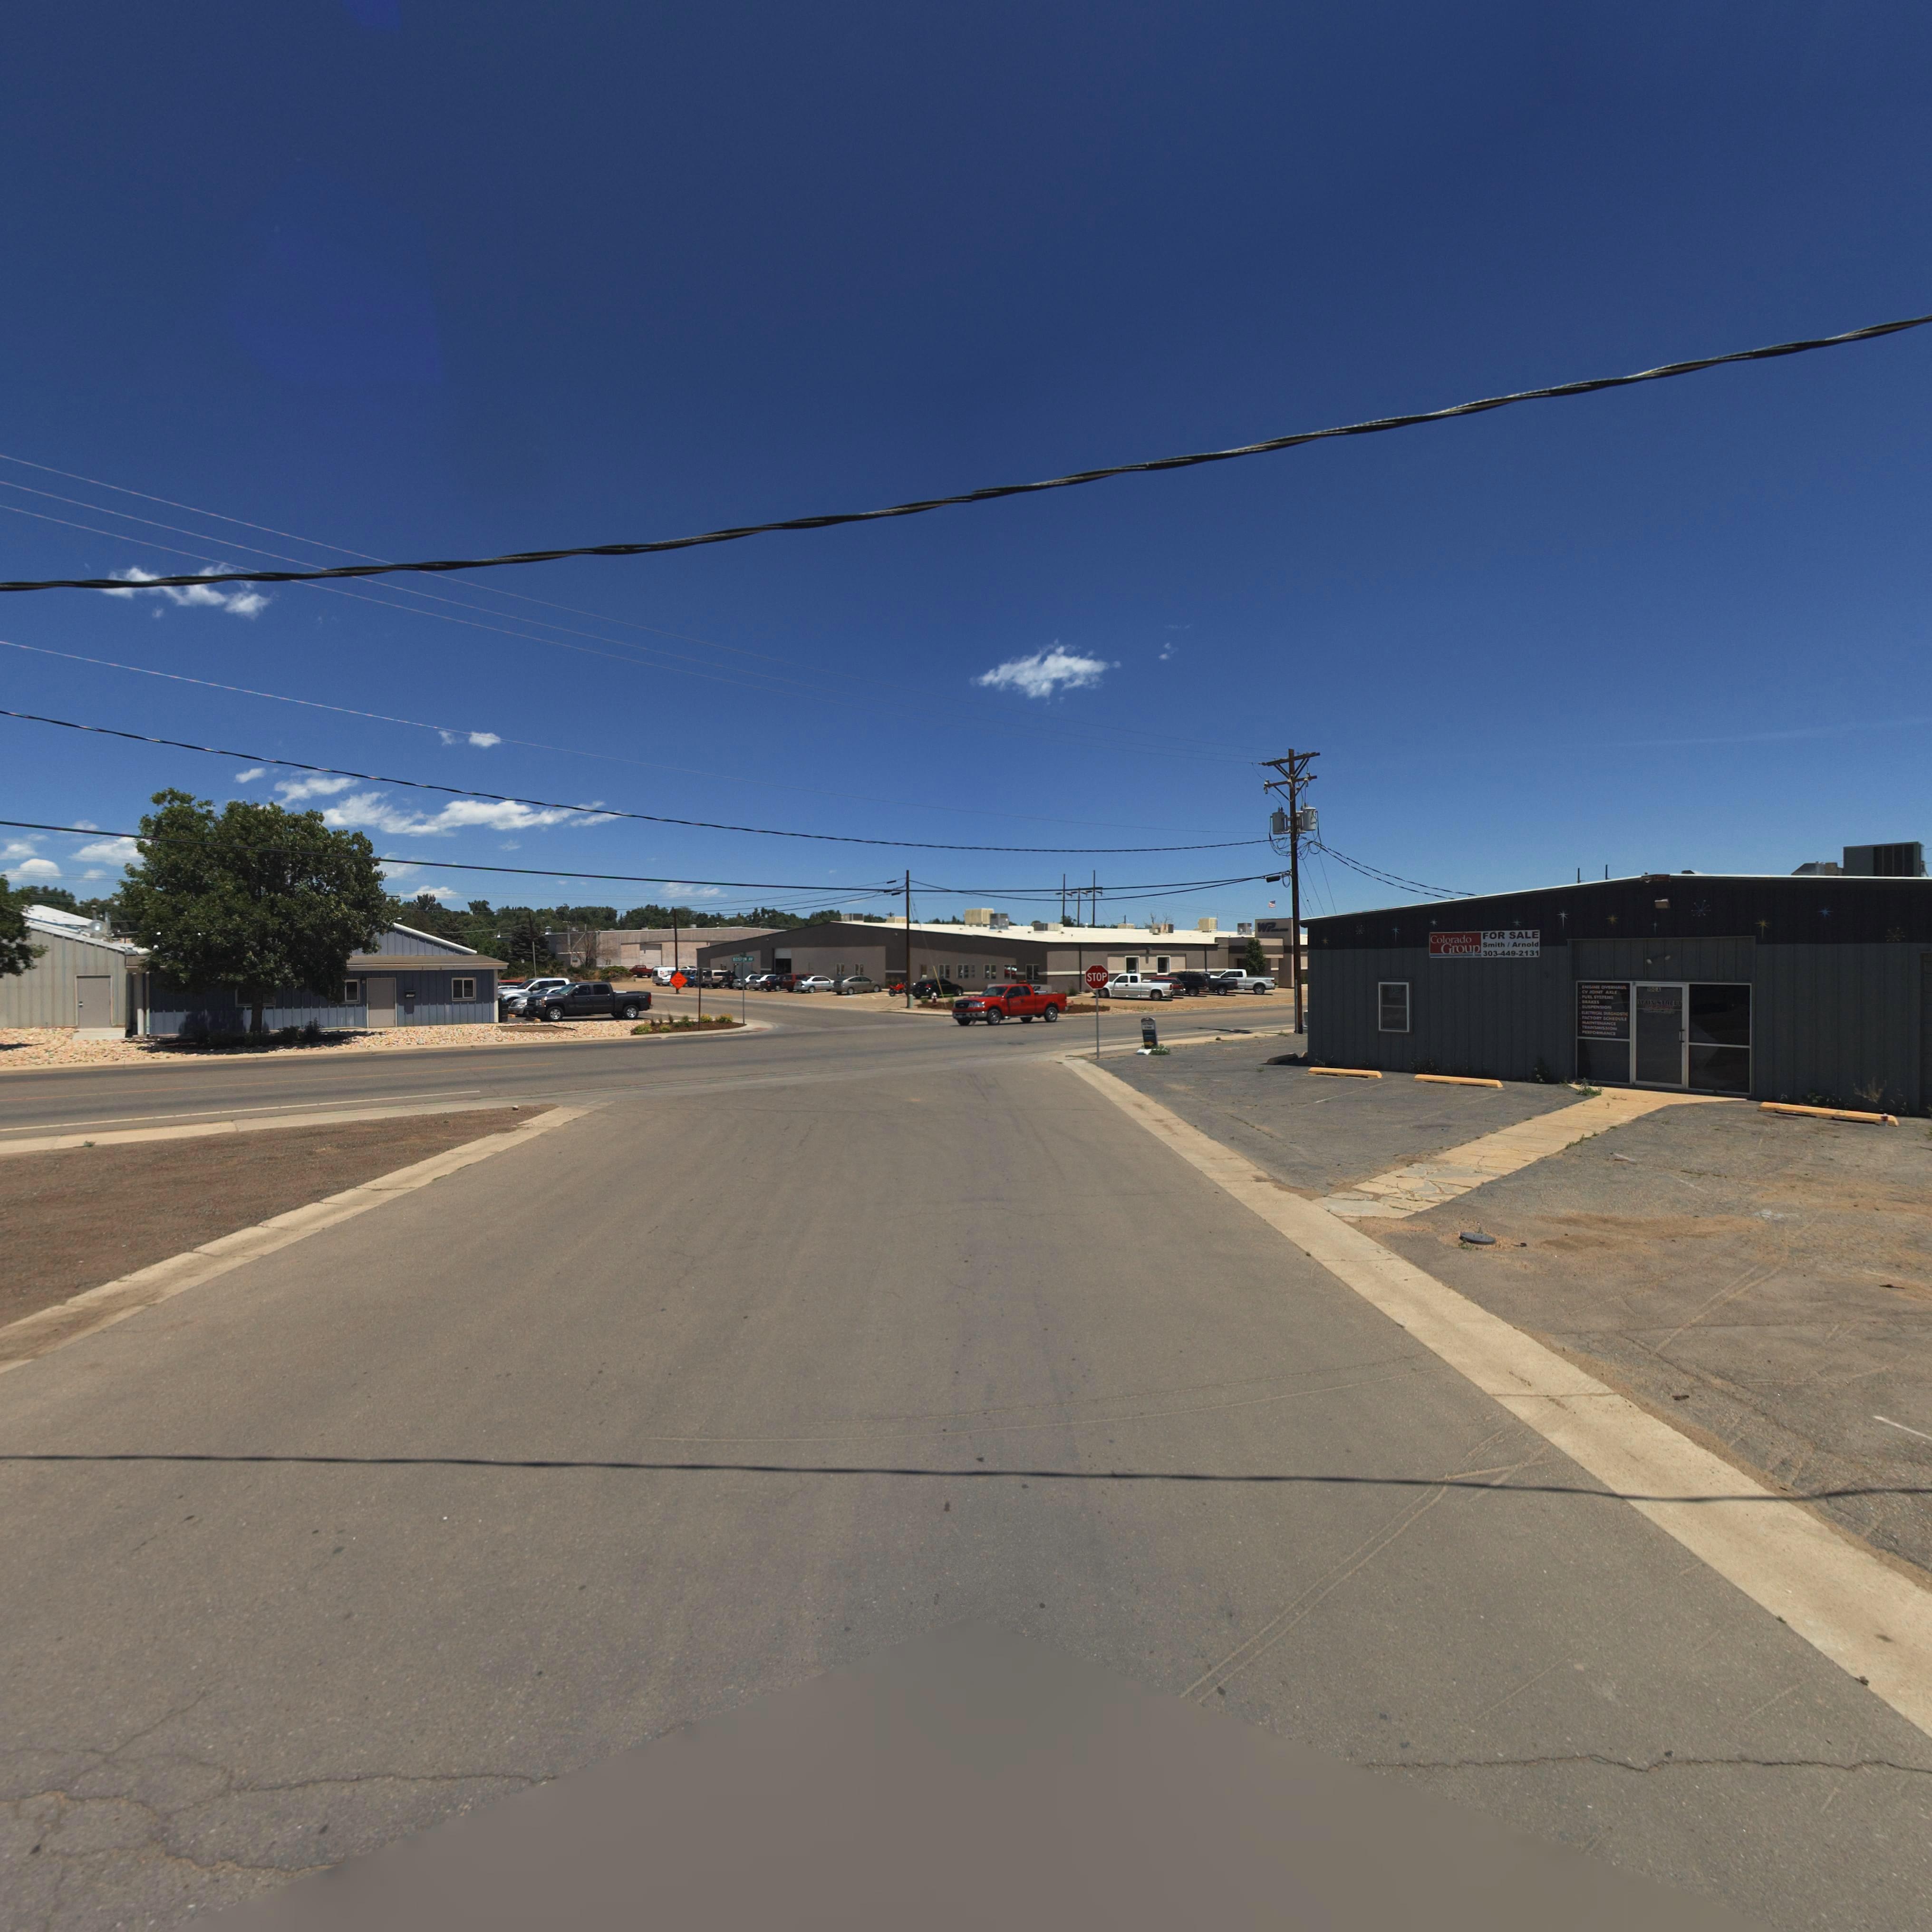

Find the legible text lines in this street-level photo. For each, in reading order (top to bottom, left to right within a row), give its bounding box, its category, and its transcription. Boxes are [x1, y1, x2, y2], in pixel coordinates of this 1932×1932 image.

[733, 956, 753, 961] StreetName: BOS*** **
[1034, 985, 1041, 991] BusinessName: P
[1646, 986, 1661, 992] StreetNumber: *00A
[406, 994, 415, 997] StreetNumber: *2**
[1637, 999, 1682, 1006] StreetName: MAIN STREET
[1644, 1005, 1674, 1009] BusinessName: I*PO*T